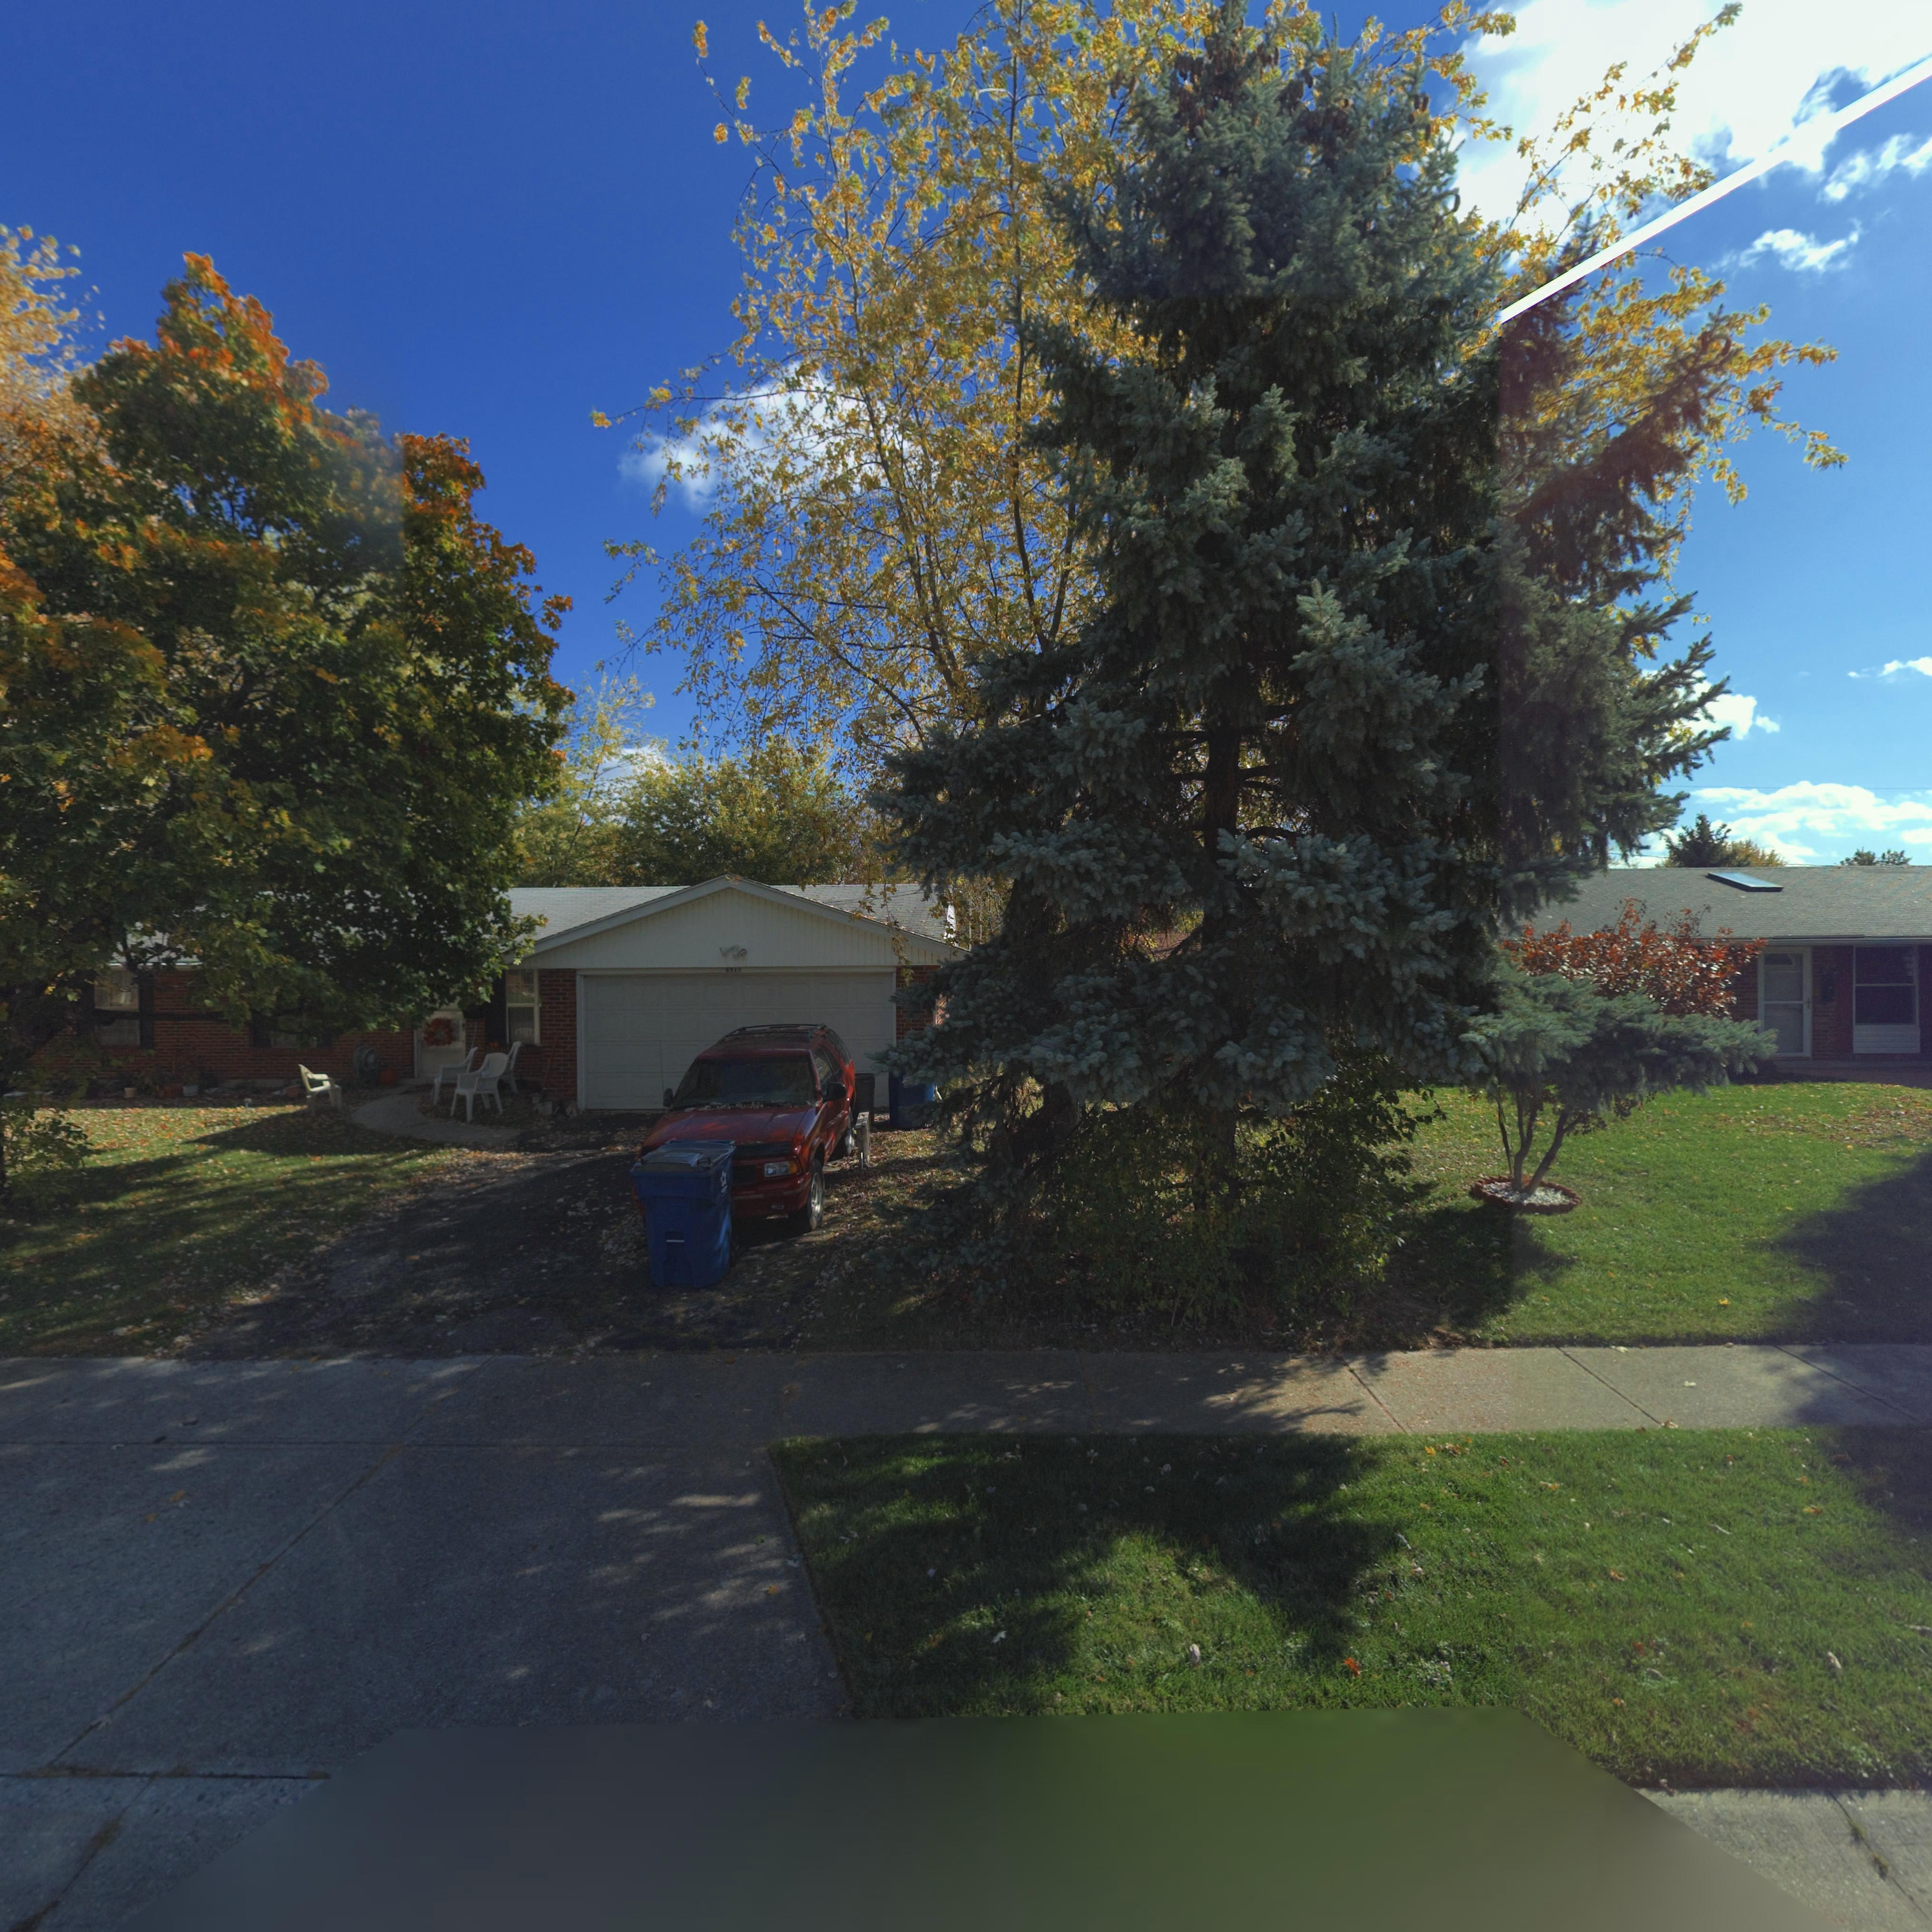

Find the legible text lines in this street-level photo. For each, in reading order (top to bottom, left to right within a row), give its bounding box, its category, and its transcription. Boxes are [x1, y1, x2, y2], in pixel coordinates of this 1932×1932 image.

[724, 966, 743, 974] StreetNumber: 69*8